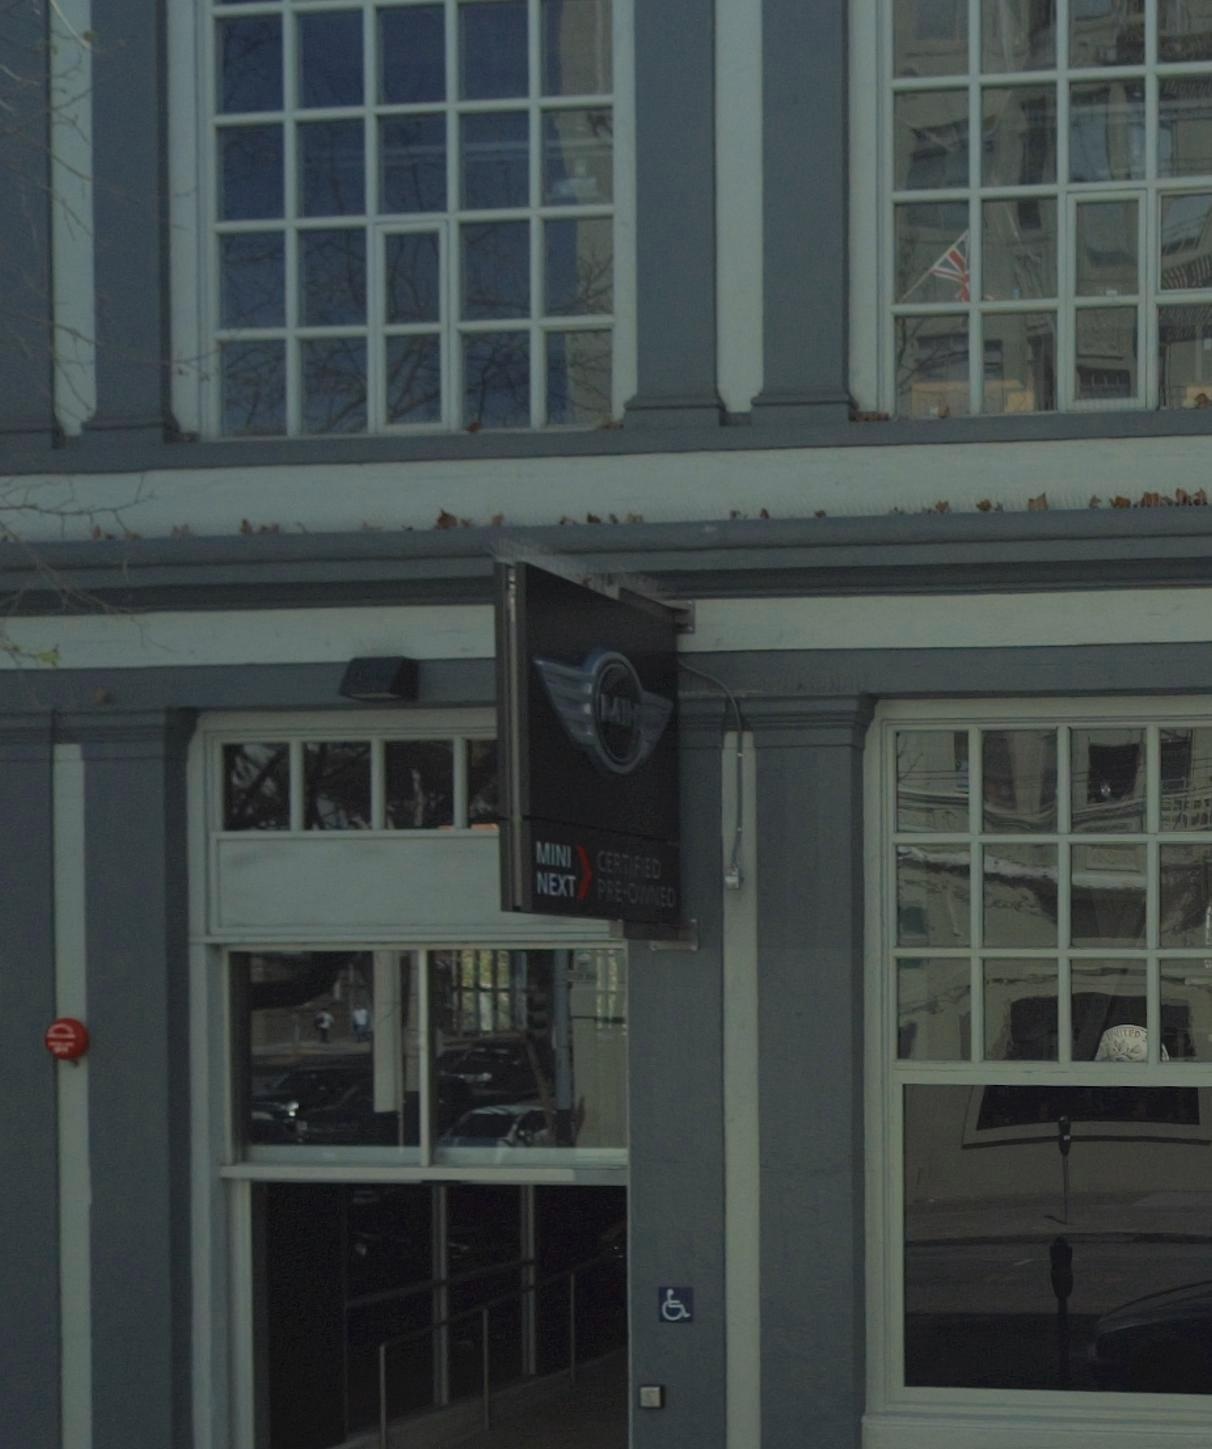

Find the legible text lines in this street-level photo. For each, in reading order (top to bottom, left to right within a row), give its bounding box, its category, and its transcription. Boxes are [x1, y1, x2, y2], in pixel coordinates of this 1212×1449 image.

[597, 690, 643, 733] BusinessName: MIN
[533, 837, 578, 875] None: MINI
[594, 846, 665, 884] None: CERTIFIED
[532, 866, 582, 904] None: NEXT
[592, 873, 681, 913] None: PRE-OWNED